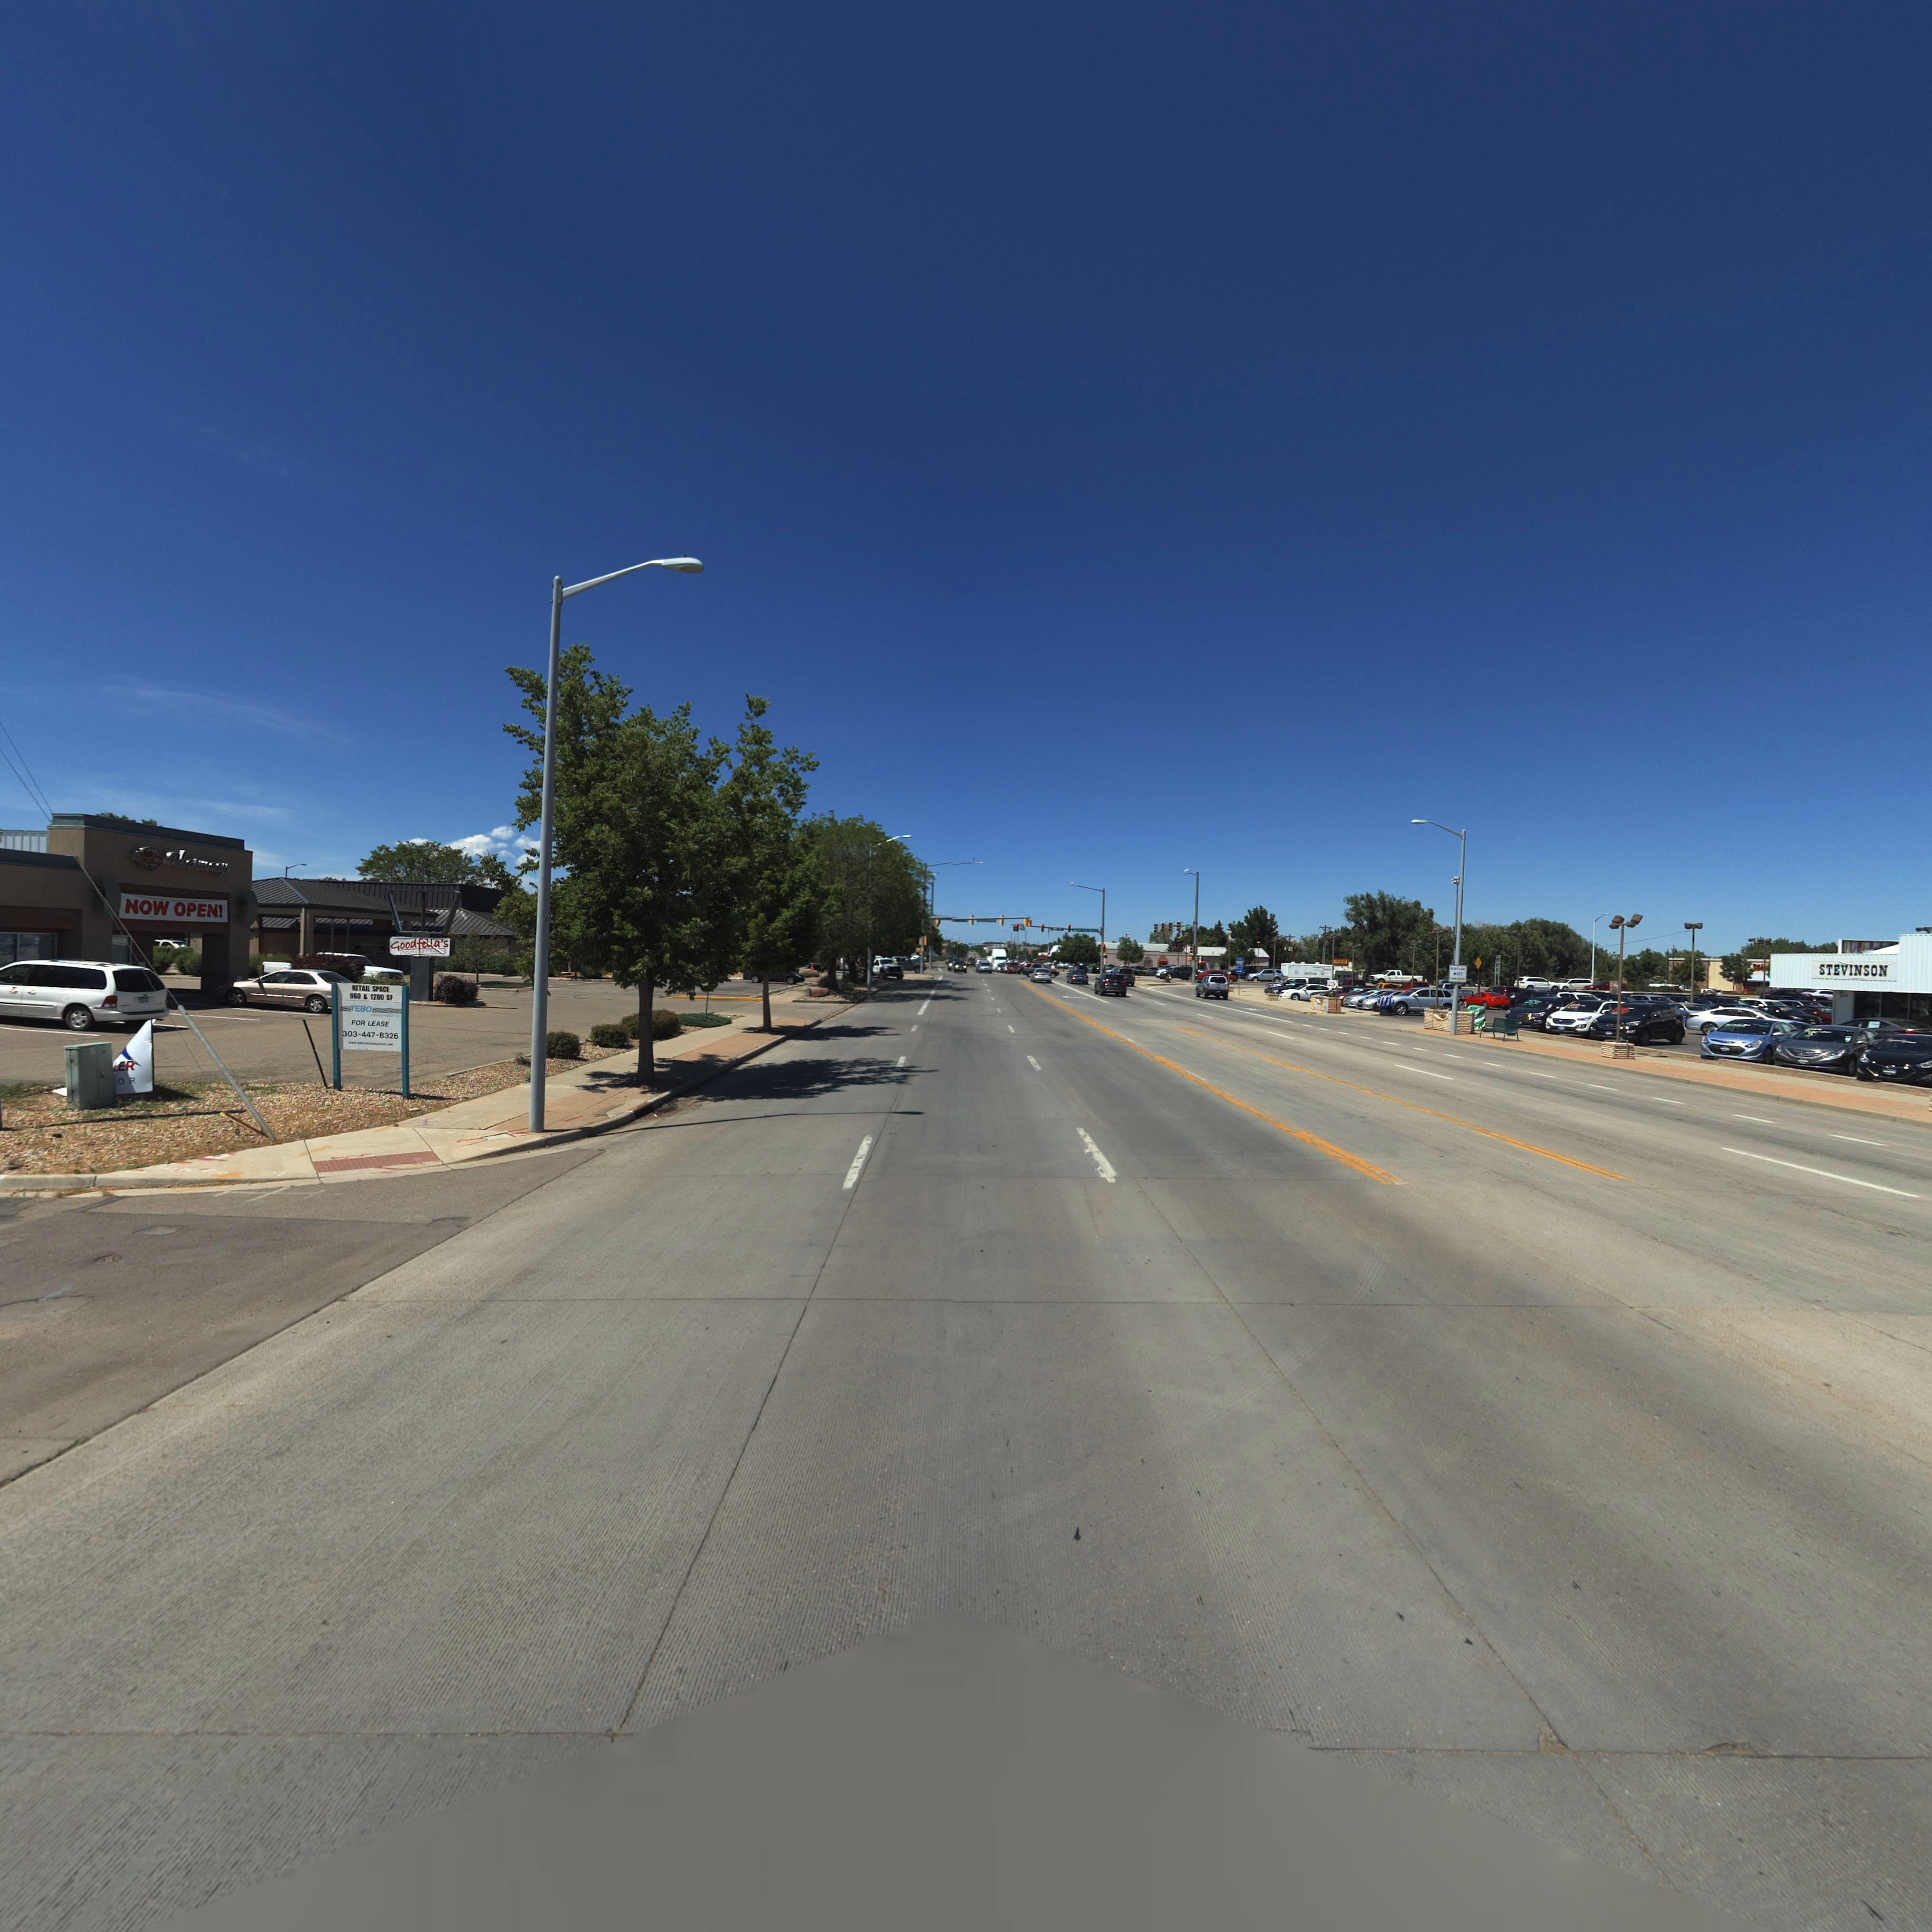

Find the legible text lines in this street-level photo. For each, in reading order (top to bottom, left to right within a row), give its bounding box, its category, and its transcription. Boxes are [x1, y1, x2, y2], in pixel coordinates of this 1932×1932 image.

[168, 850, 230, 878] BusinessName: Pha*macy
[390, 937, 449, 952] BusinessName: Goodfella's
[1334, 959, 1346, 963] BusinessName: ZOE
[1752, 963, 1765, 971] BusinessName: B****
[1818, 964, 1888, 976] BusinessName: STEVINSON